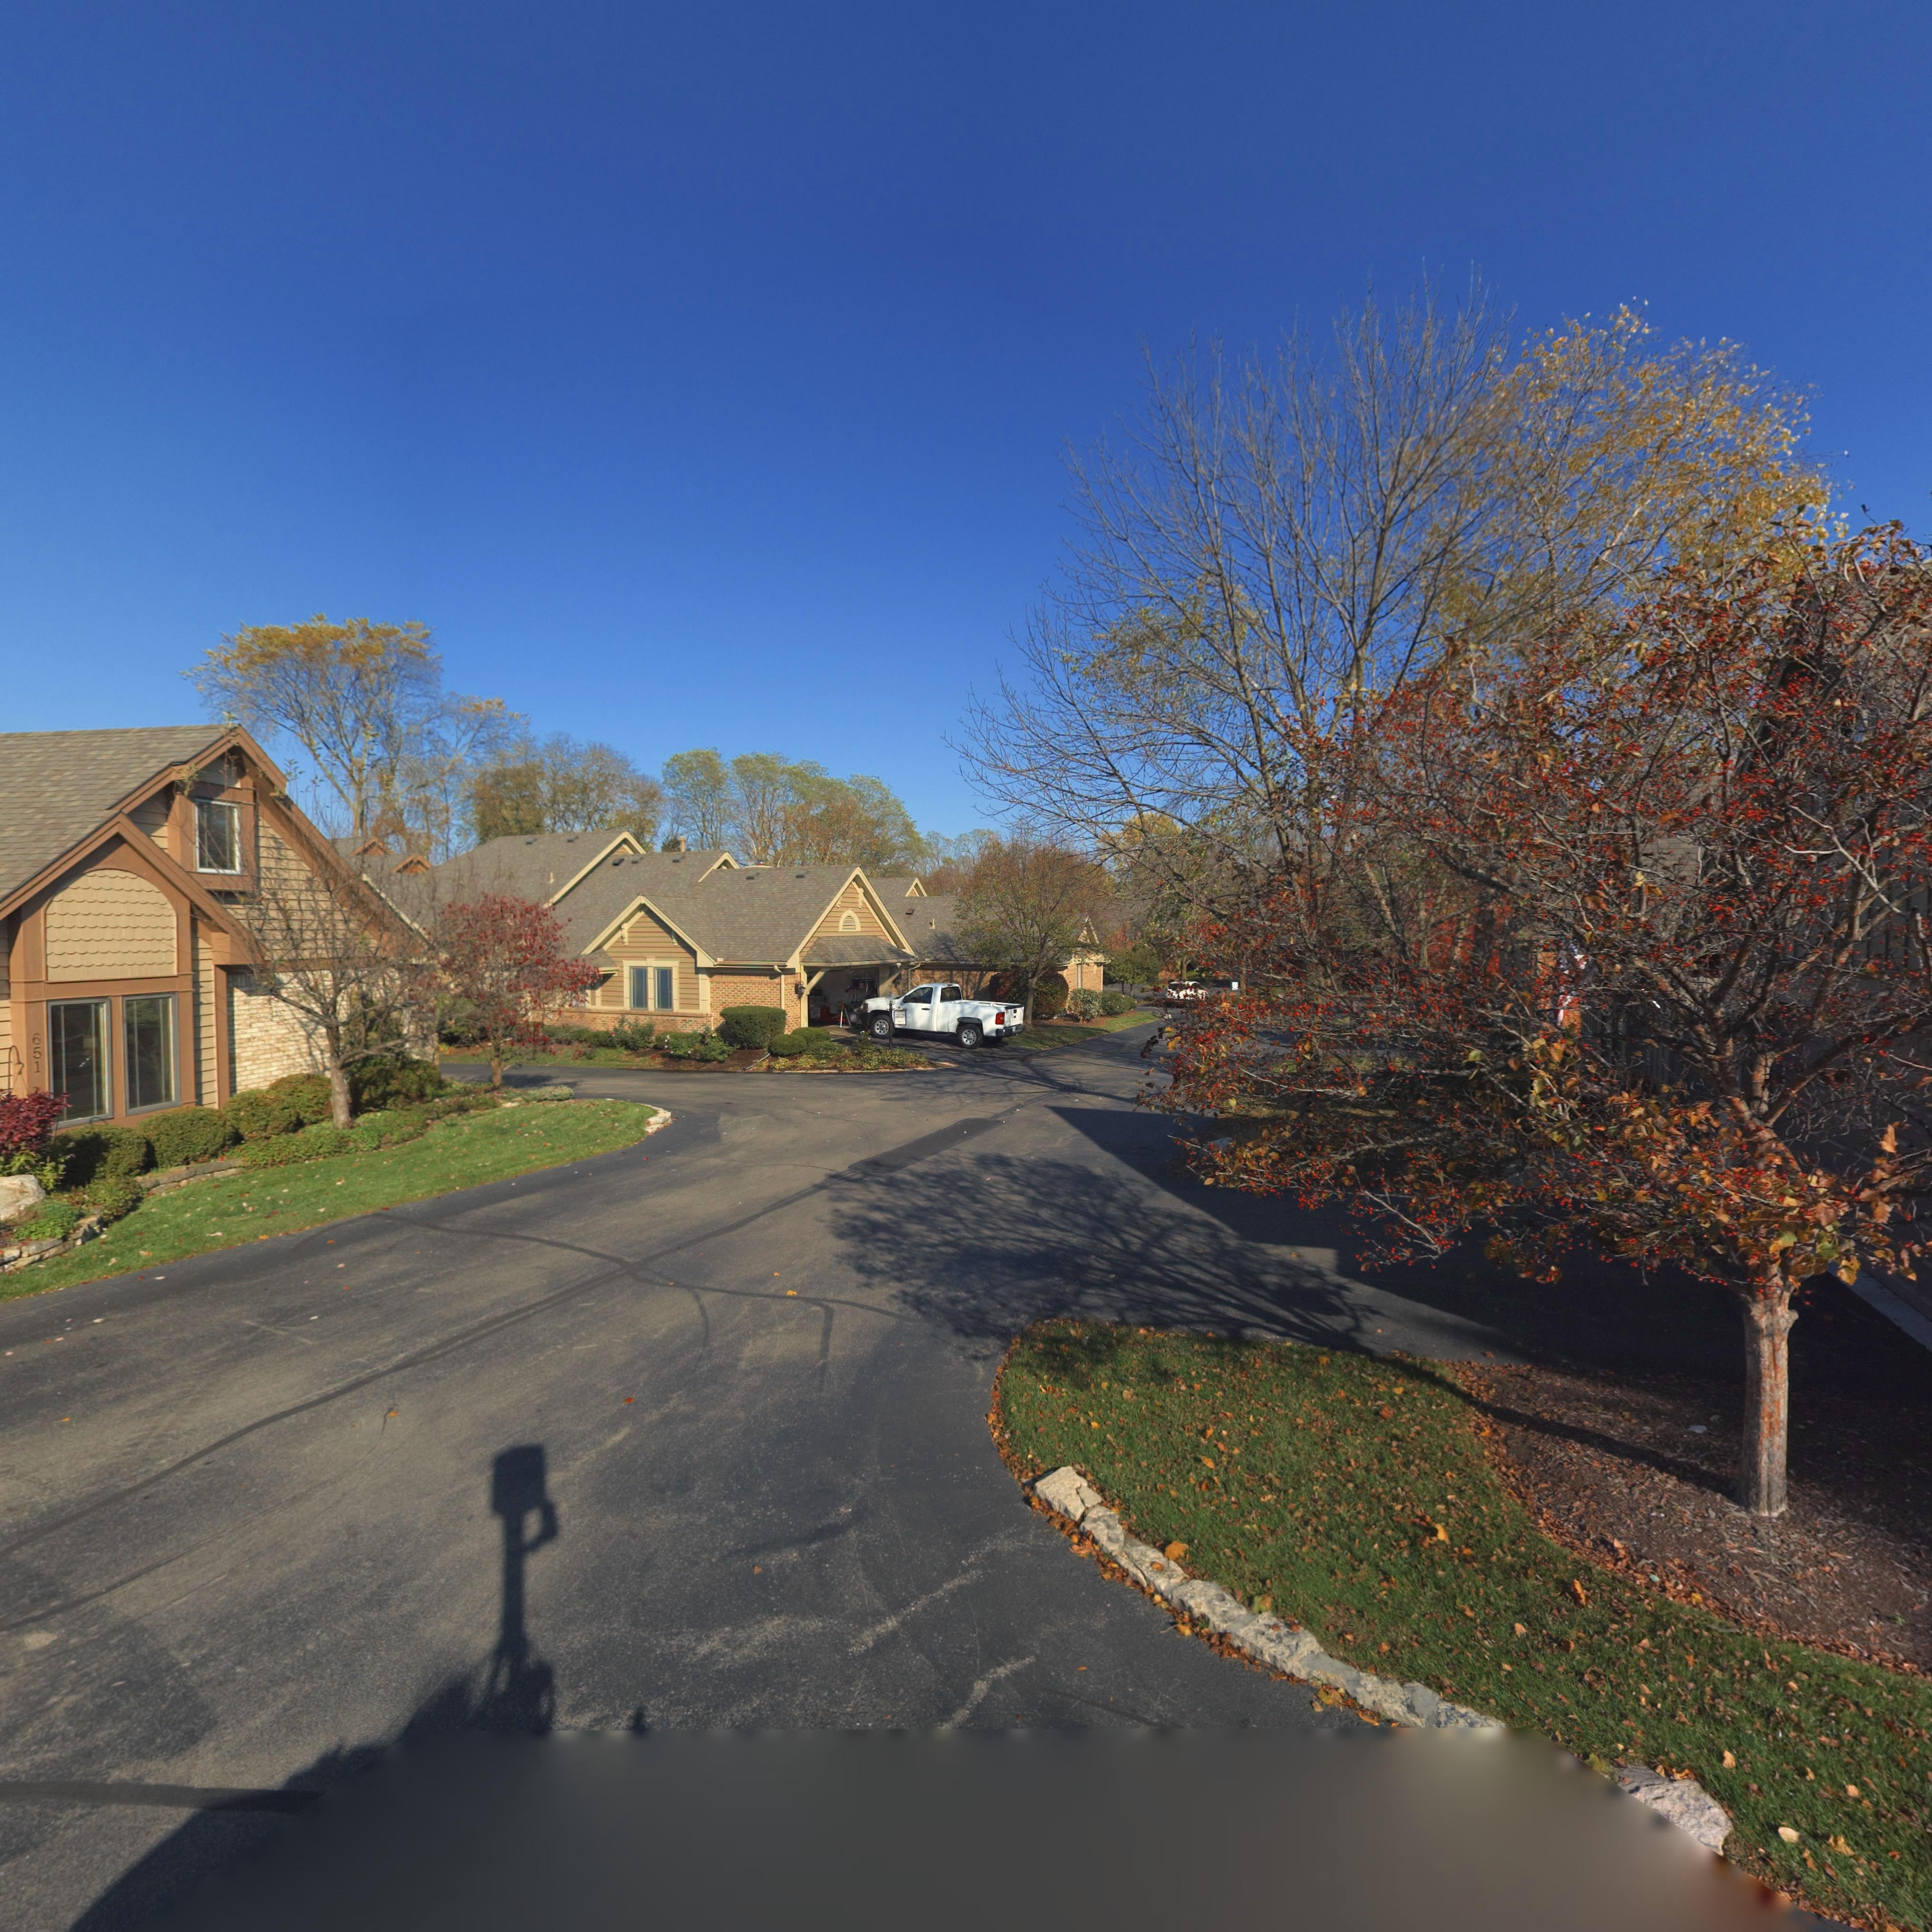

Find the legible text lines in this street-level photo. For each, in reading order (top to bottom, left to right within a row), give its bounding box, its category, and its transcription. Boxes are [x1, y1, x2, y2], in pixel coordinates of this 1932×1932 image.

[31, 1031, 43, 1074] StreetNumber: 651